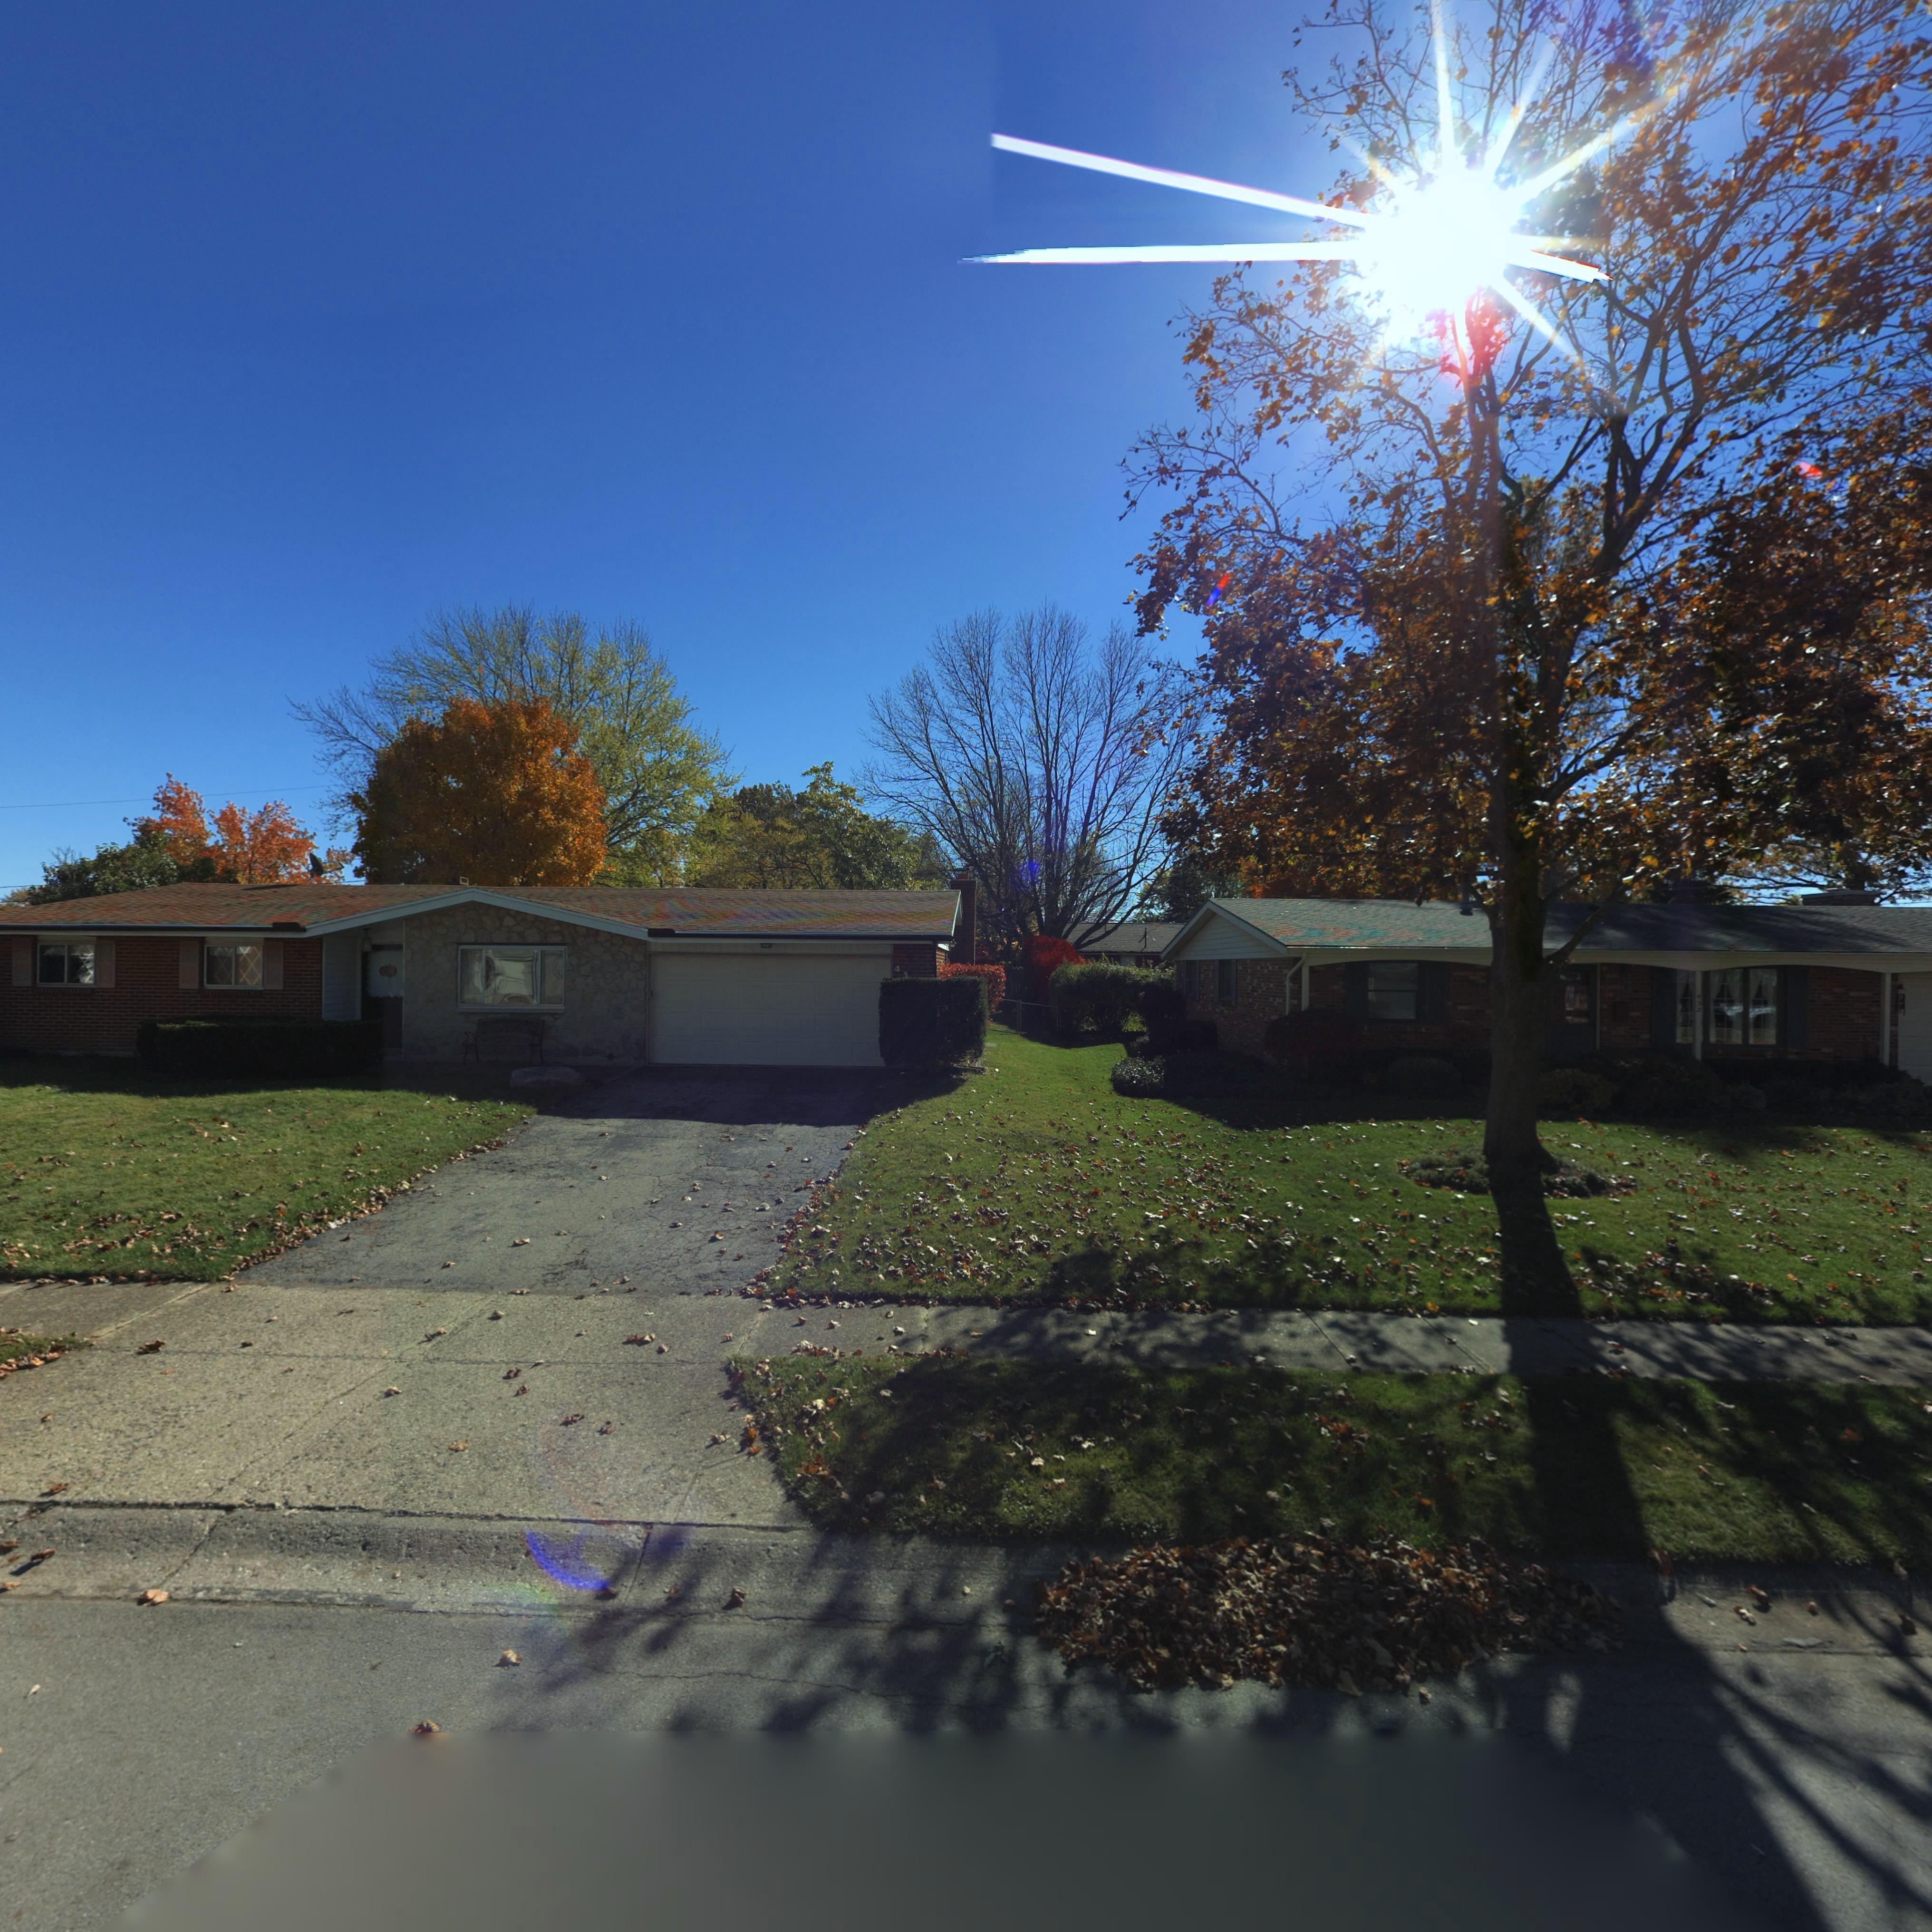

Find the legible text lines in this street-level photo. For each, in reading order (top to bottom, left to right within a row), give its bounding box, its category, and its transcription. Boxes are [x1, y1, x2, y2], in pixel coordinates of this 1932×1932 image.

[893, 964, 909, 979] StreetNumber: 43